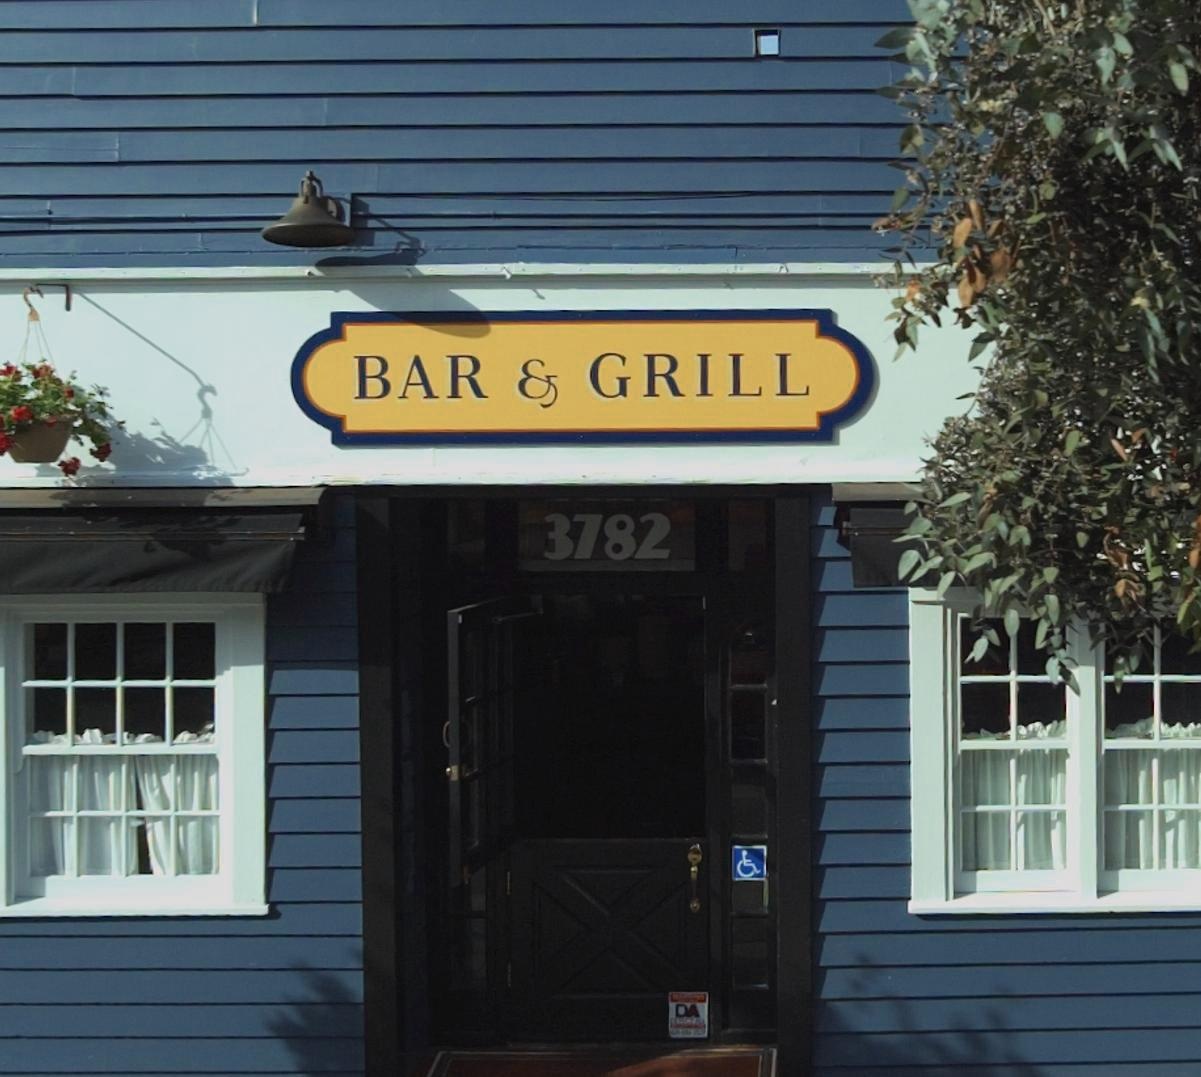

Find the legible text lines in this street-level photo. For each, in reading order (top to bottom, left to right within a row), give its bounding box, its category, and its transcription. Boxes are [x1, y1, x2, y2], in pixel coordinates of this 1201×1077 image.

[352, 350, 811, 411] BusinessName: BAR & GRILL
[542, 510, 676, 561] StreetNumber: 3782
[675, 1003, 701, 1018] None: DA